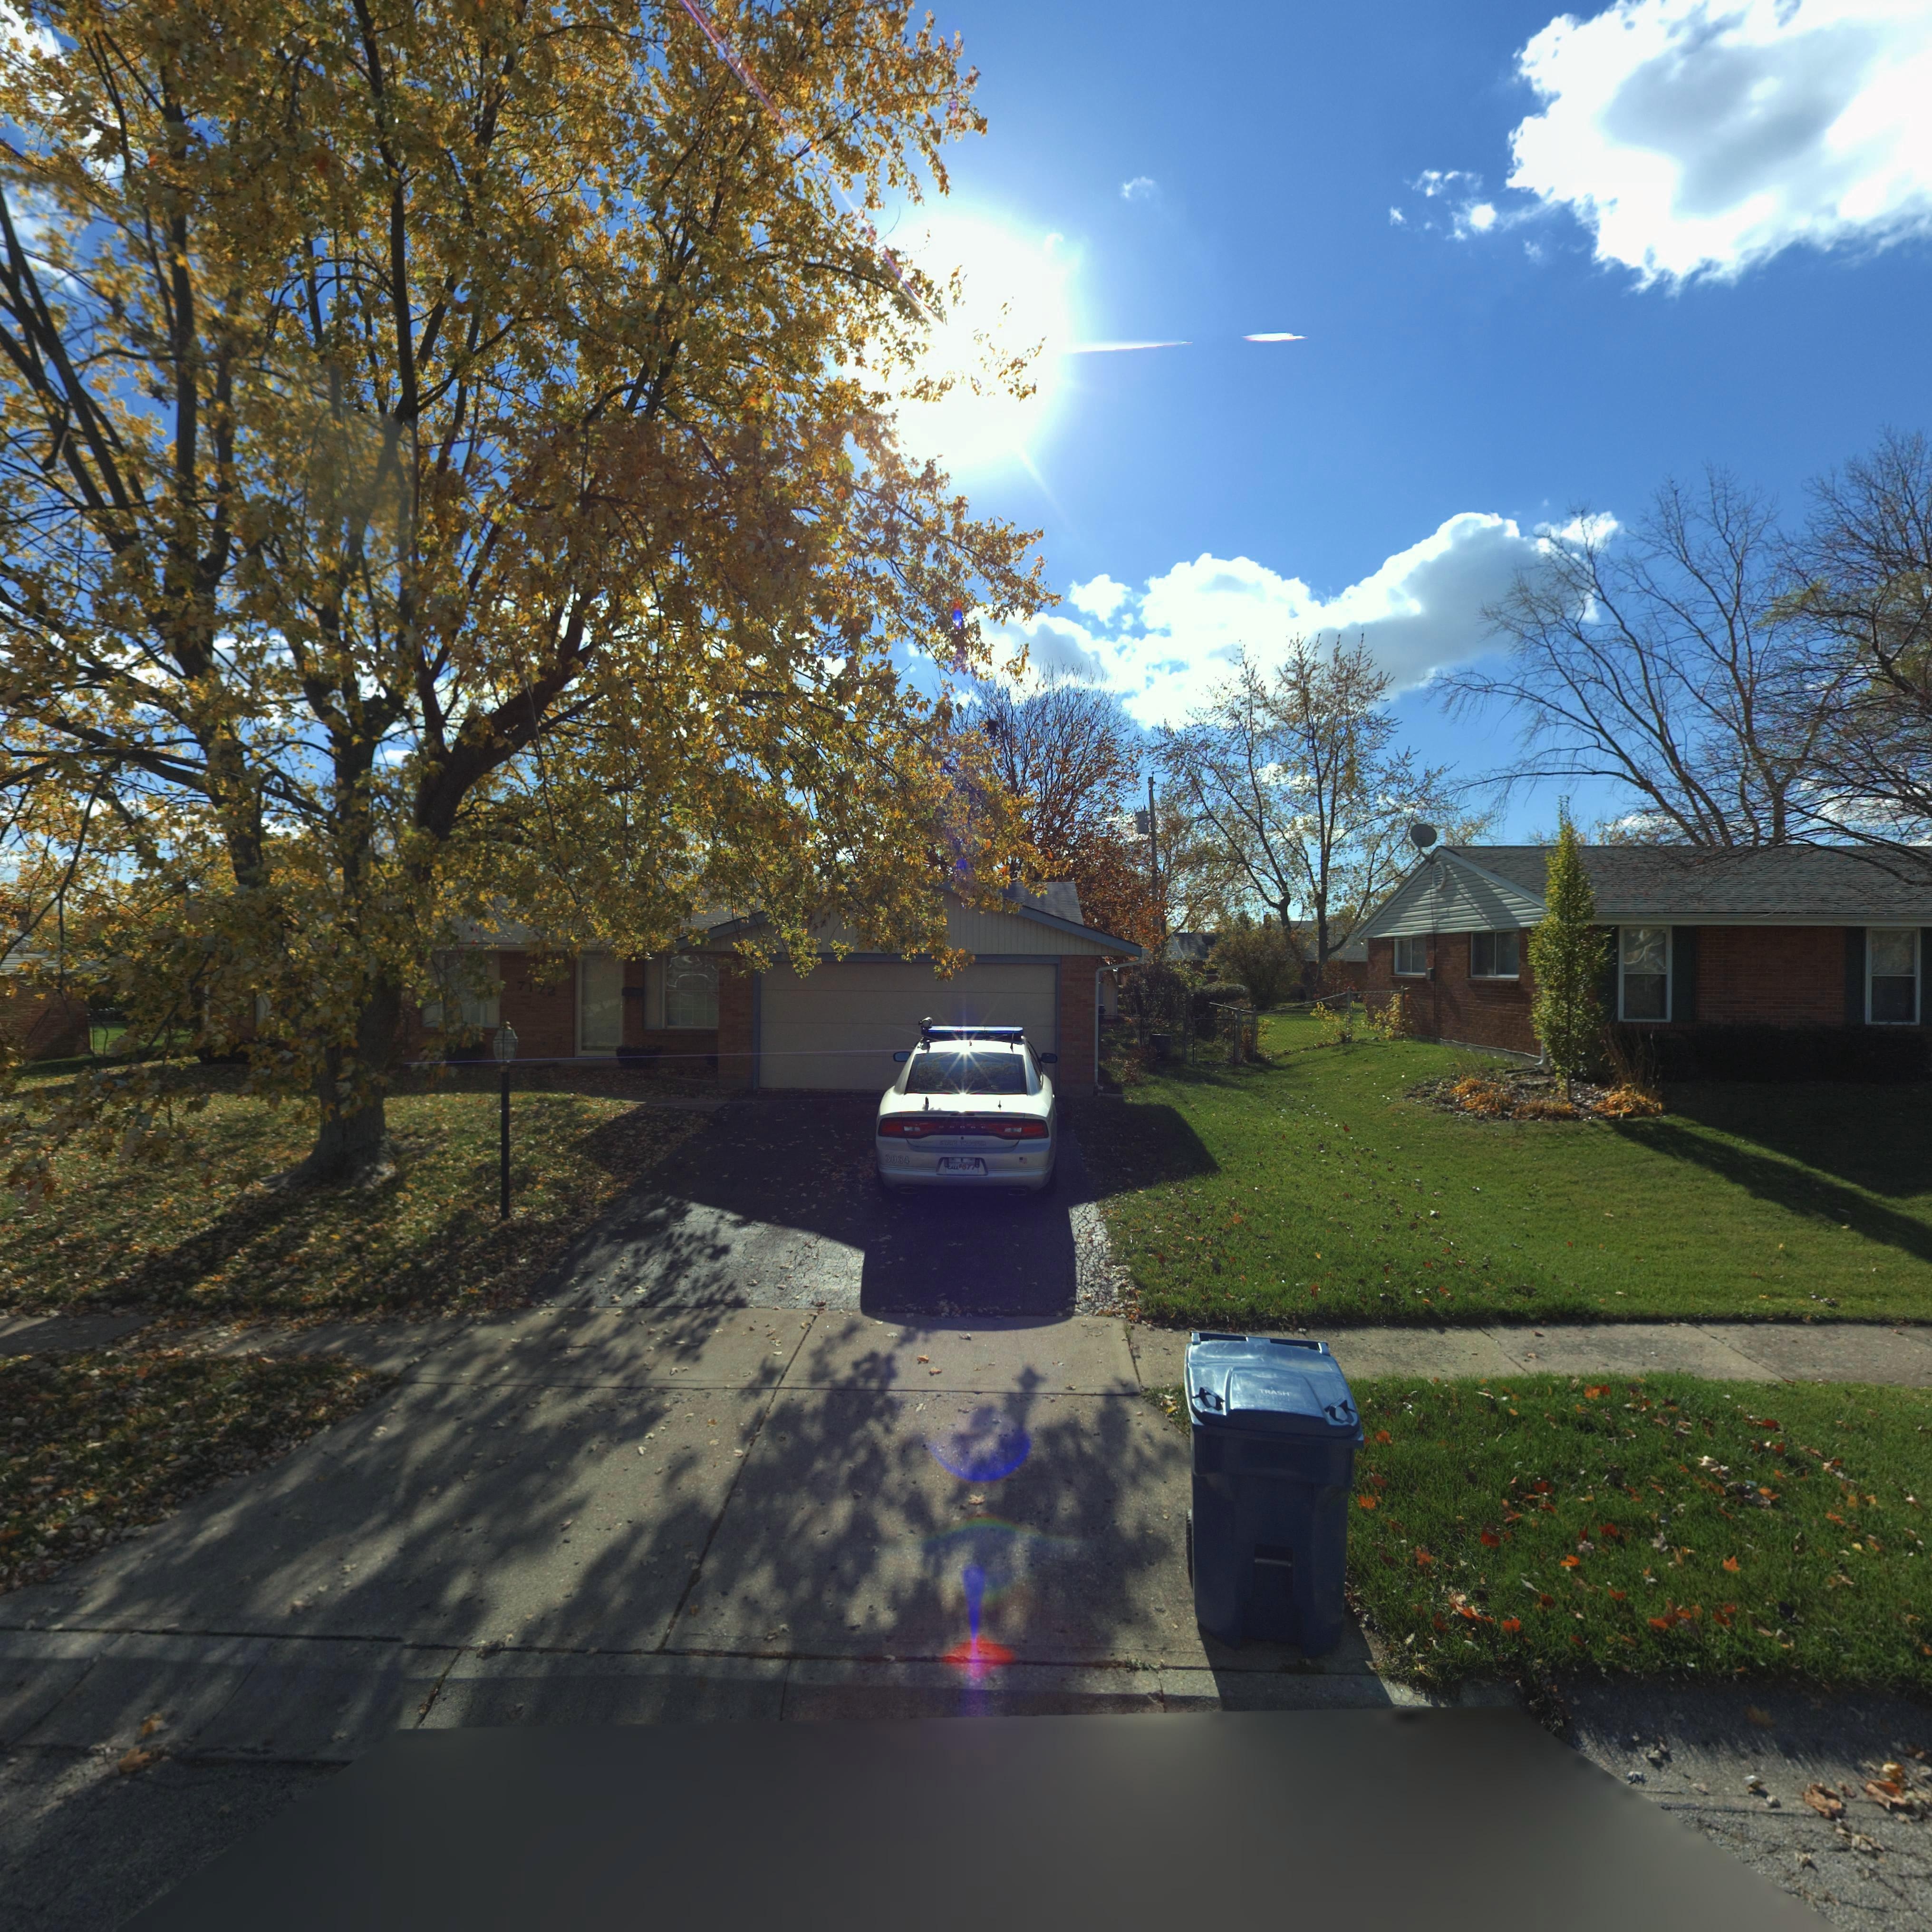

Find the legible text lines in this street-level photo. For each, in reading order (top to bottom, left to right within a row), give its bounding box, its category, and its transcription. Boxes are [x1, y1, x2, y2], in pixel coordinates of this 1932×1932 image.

[516, 980, 556, 998] StreetNumber: 7172